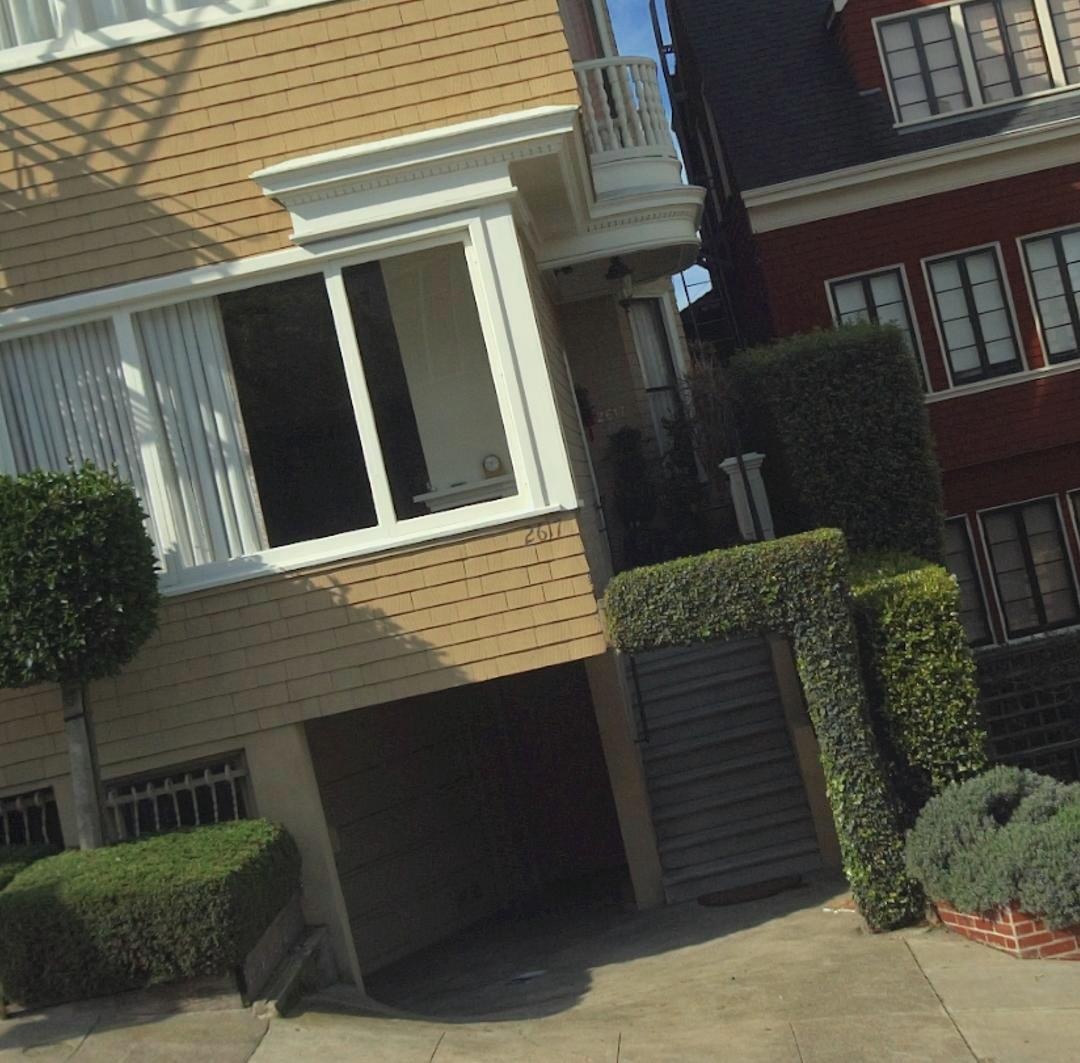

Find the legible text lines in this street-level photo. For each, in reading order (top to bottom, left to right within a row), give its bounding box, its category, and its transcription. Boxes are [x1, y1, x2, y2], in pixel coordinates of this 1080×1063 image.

[594, 403, 628, 425] StreetNumber: 2617
[522, 516, 565, 547] StreetNumber: 2617